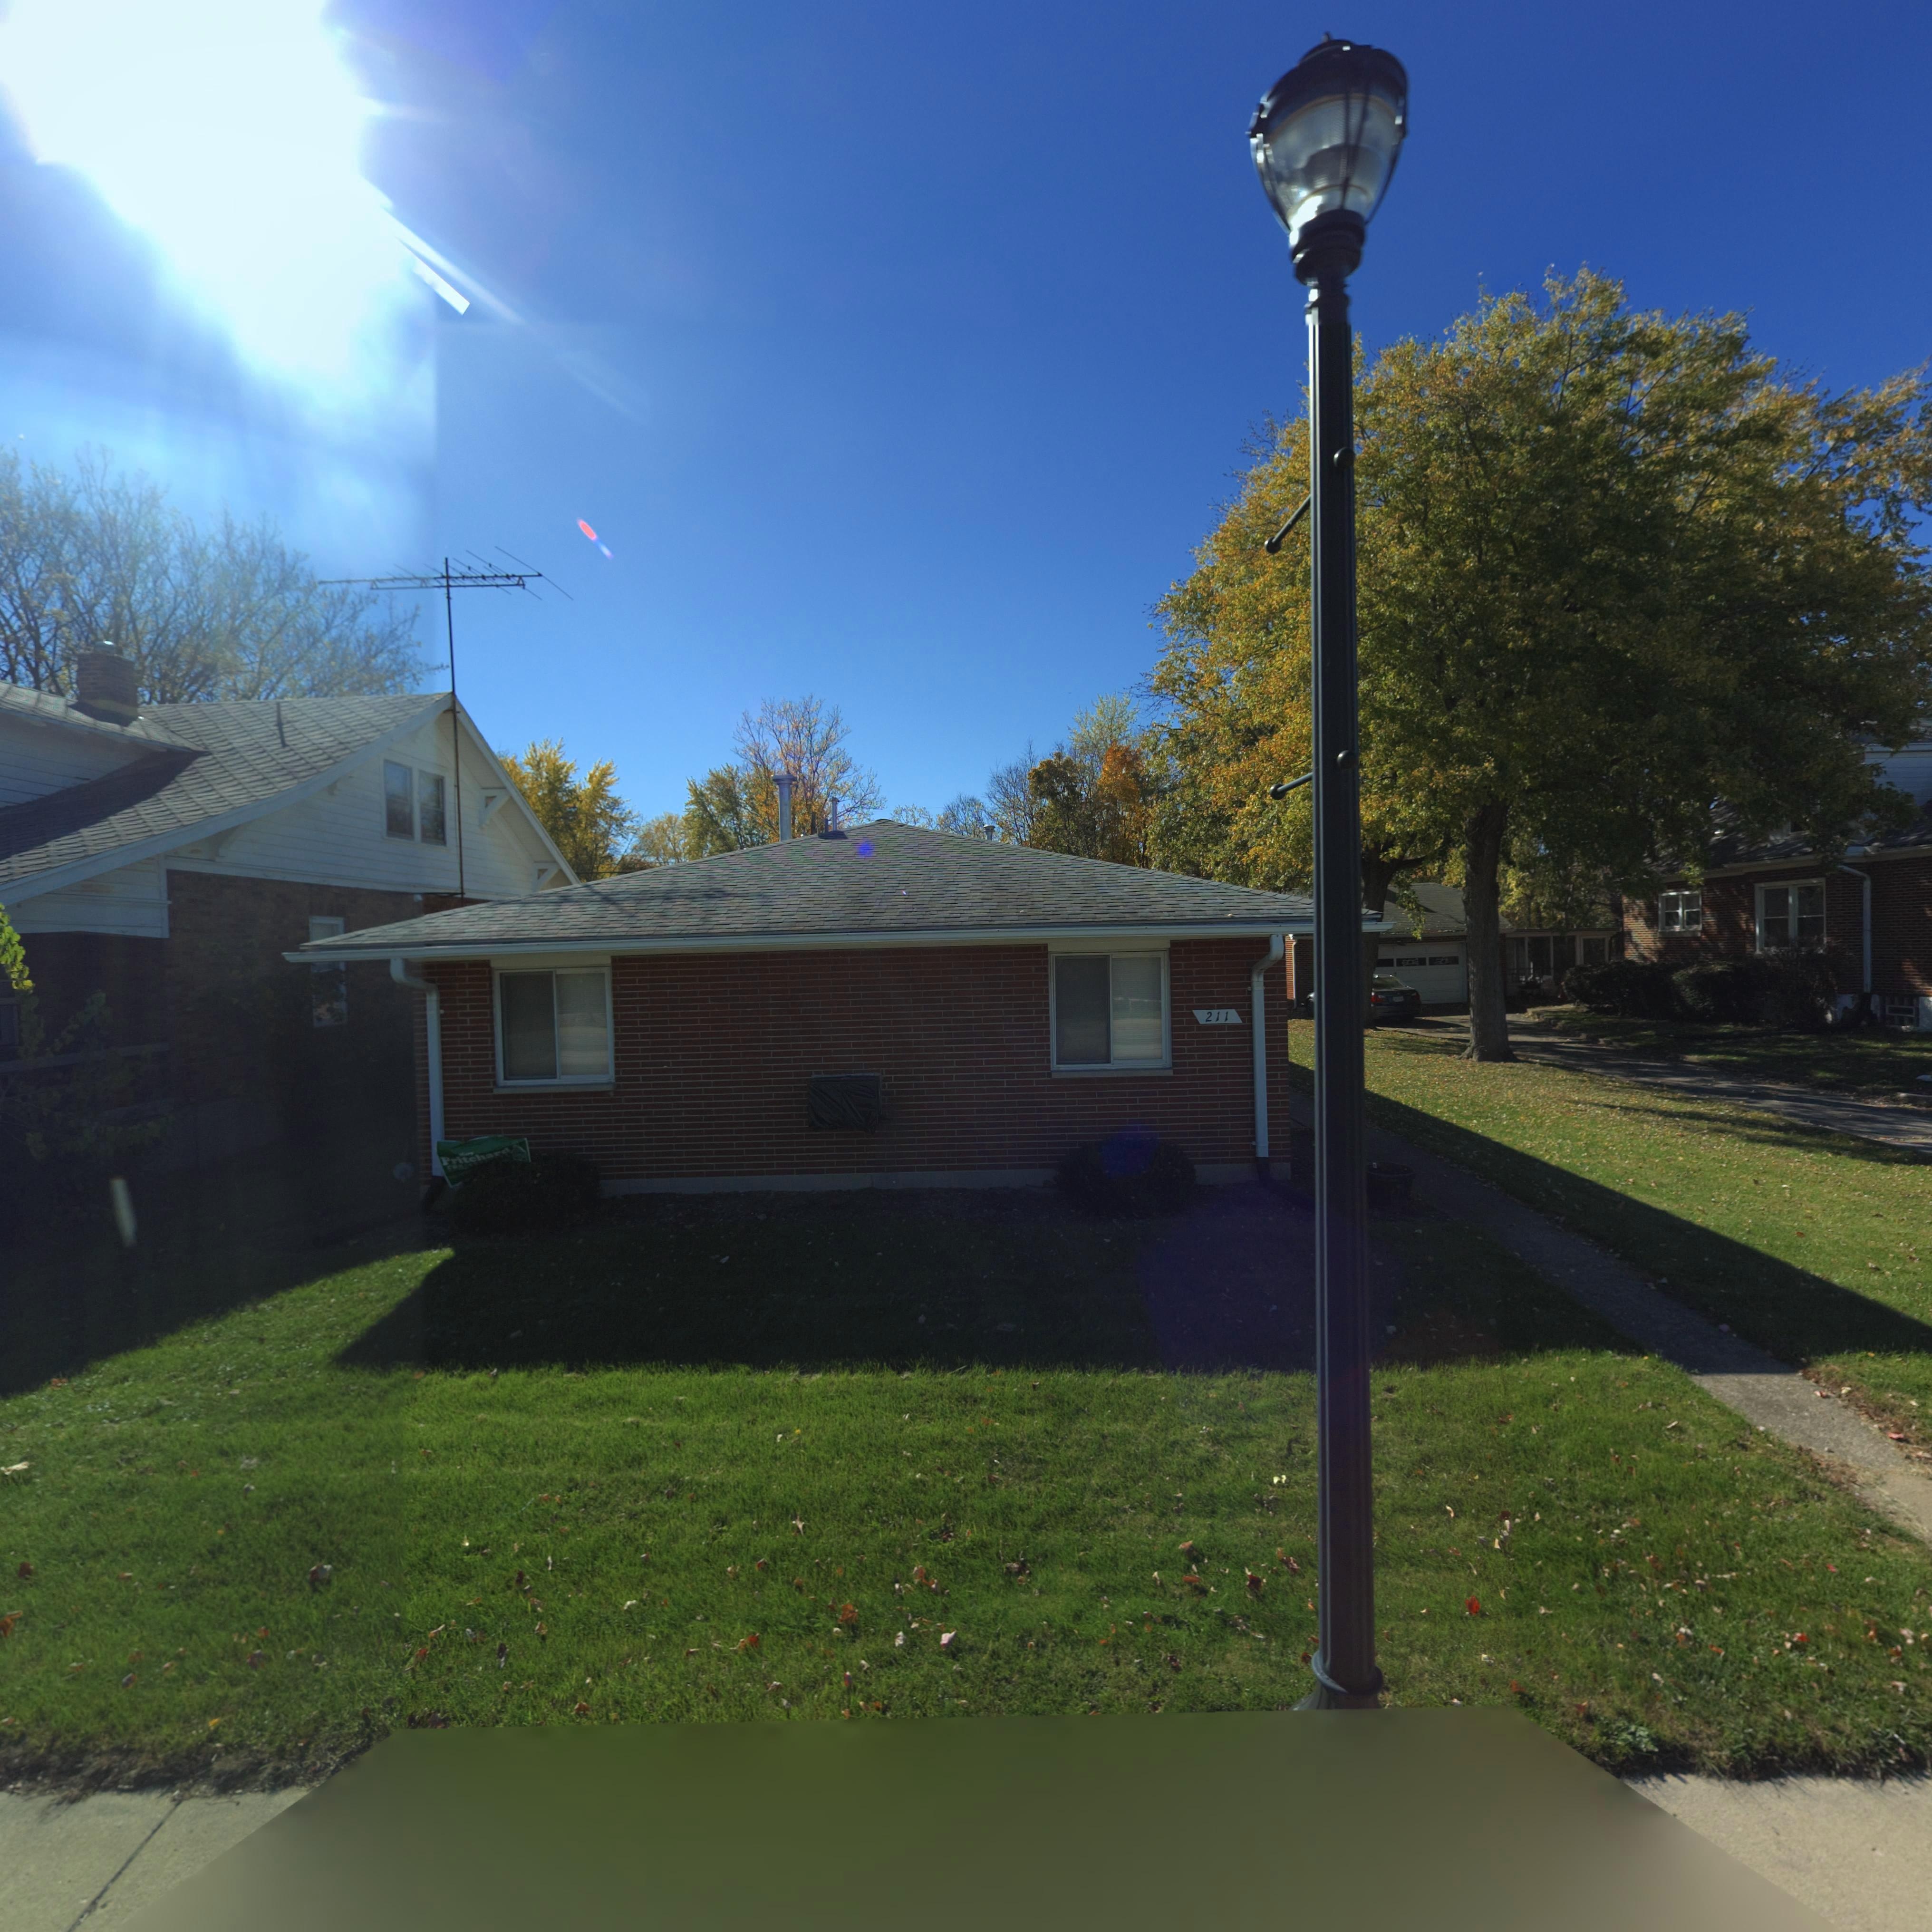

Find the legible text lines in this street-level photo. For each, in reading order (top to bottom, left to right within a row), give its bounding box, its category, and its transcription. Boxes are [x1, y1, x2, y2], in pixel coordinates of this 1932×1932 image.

[1204, 1010, 1229, 1024] StreetNumber: 211